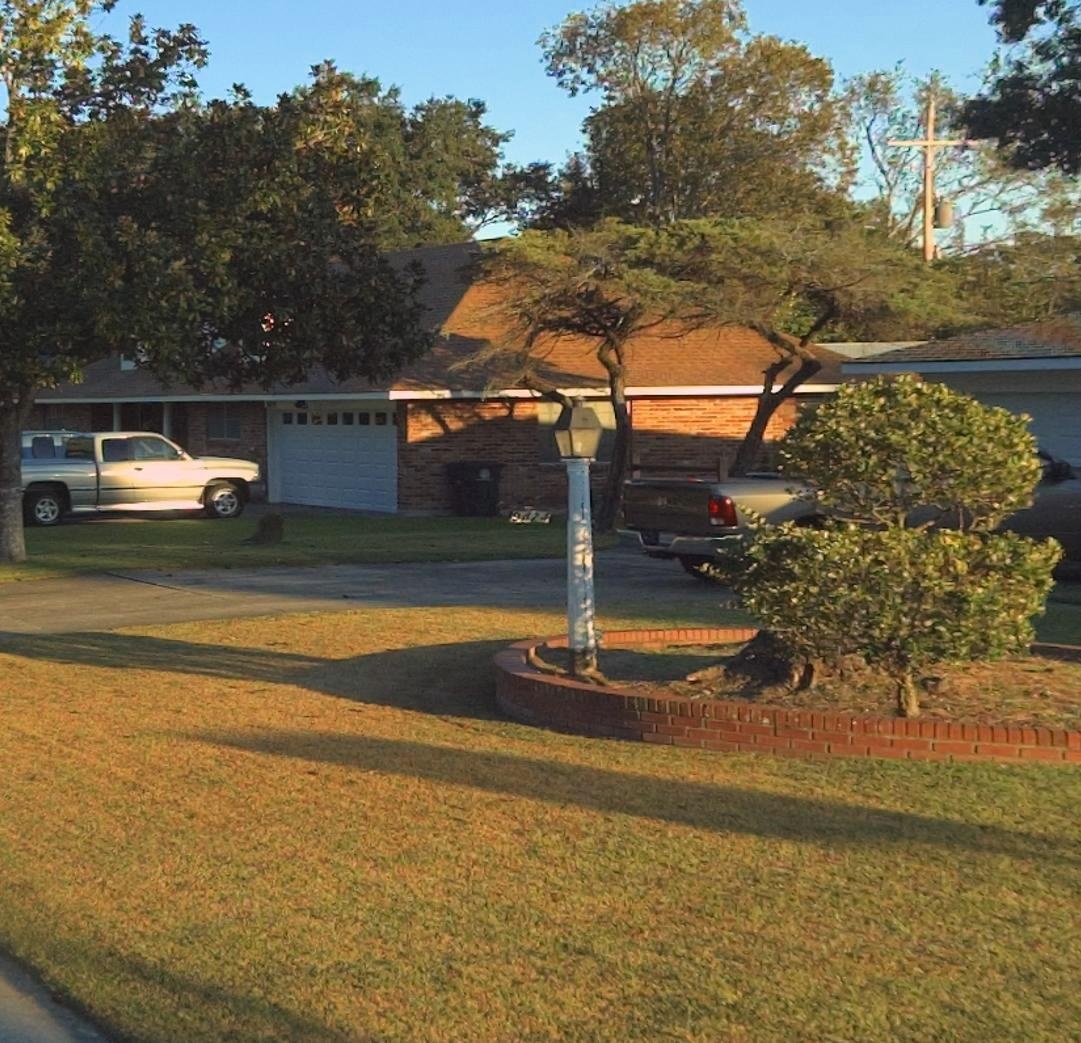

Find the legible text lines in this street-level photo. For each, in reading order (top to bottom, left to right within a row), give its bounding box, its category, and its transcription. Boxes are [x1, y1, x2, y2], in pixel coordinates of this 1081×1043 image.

[512, 510, 551, 524] StreetNumber: 9*24